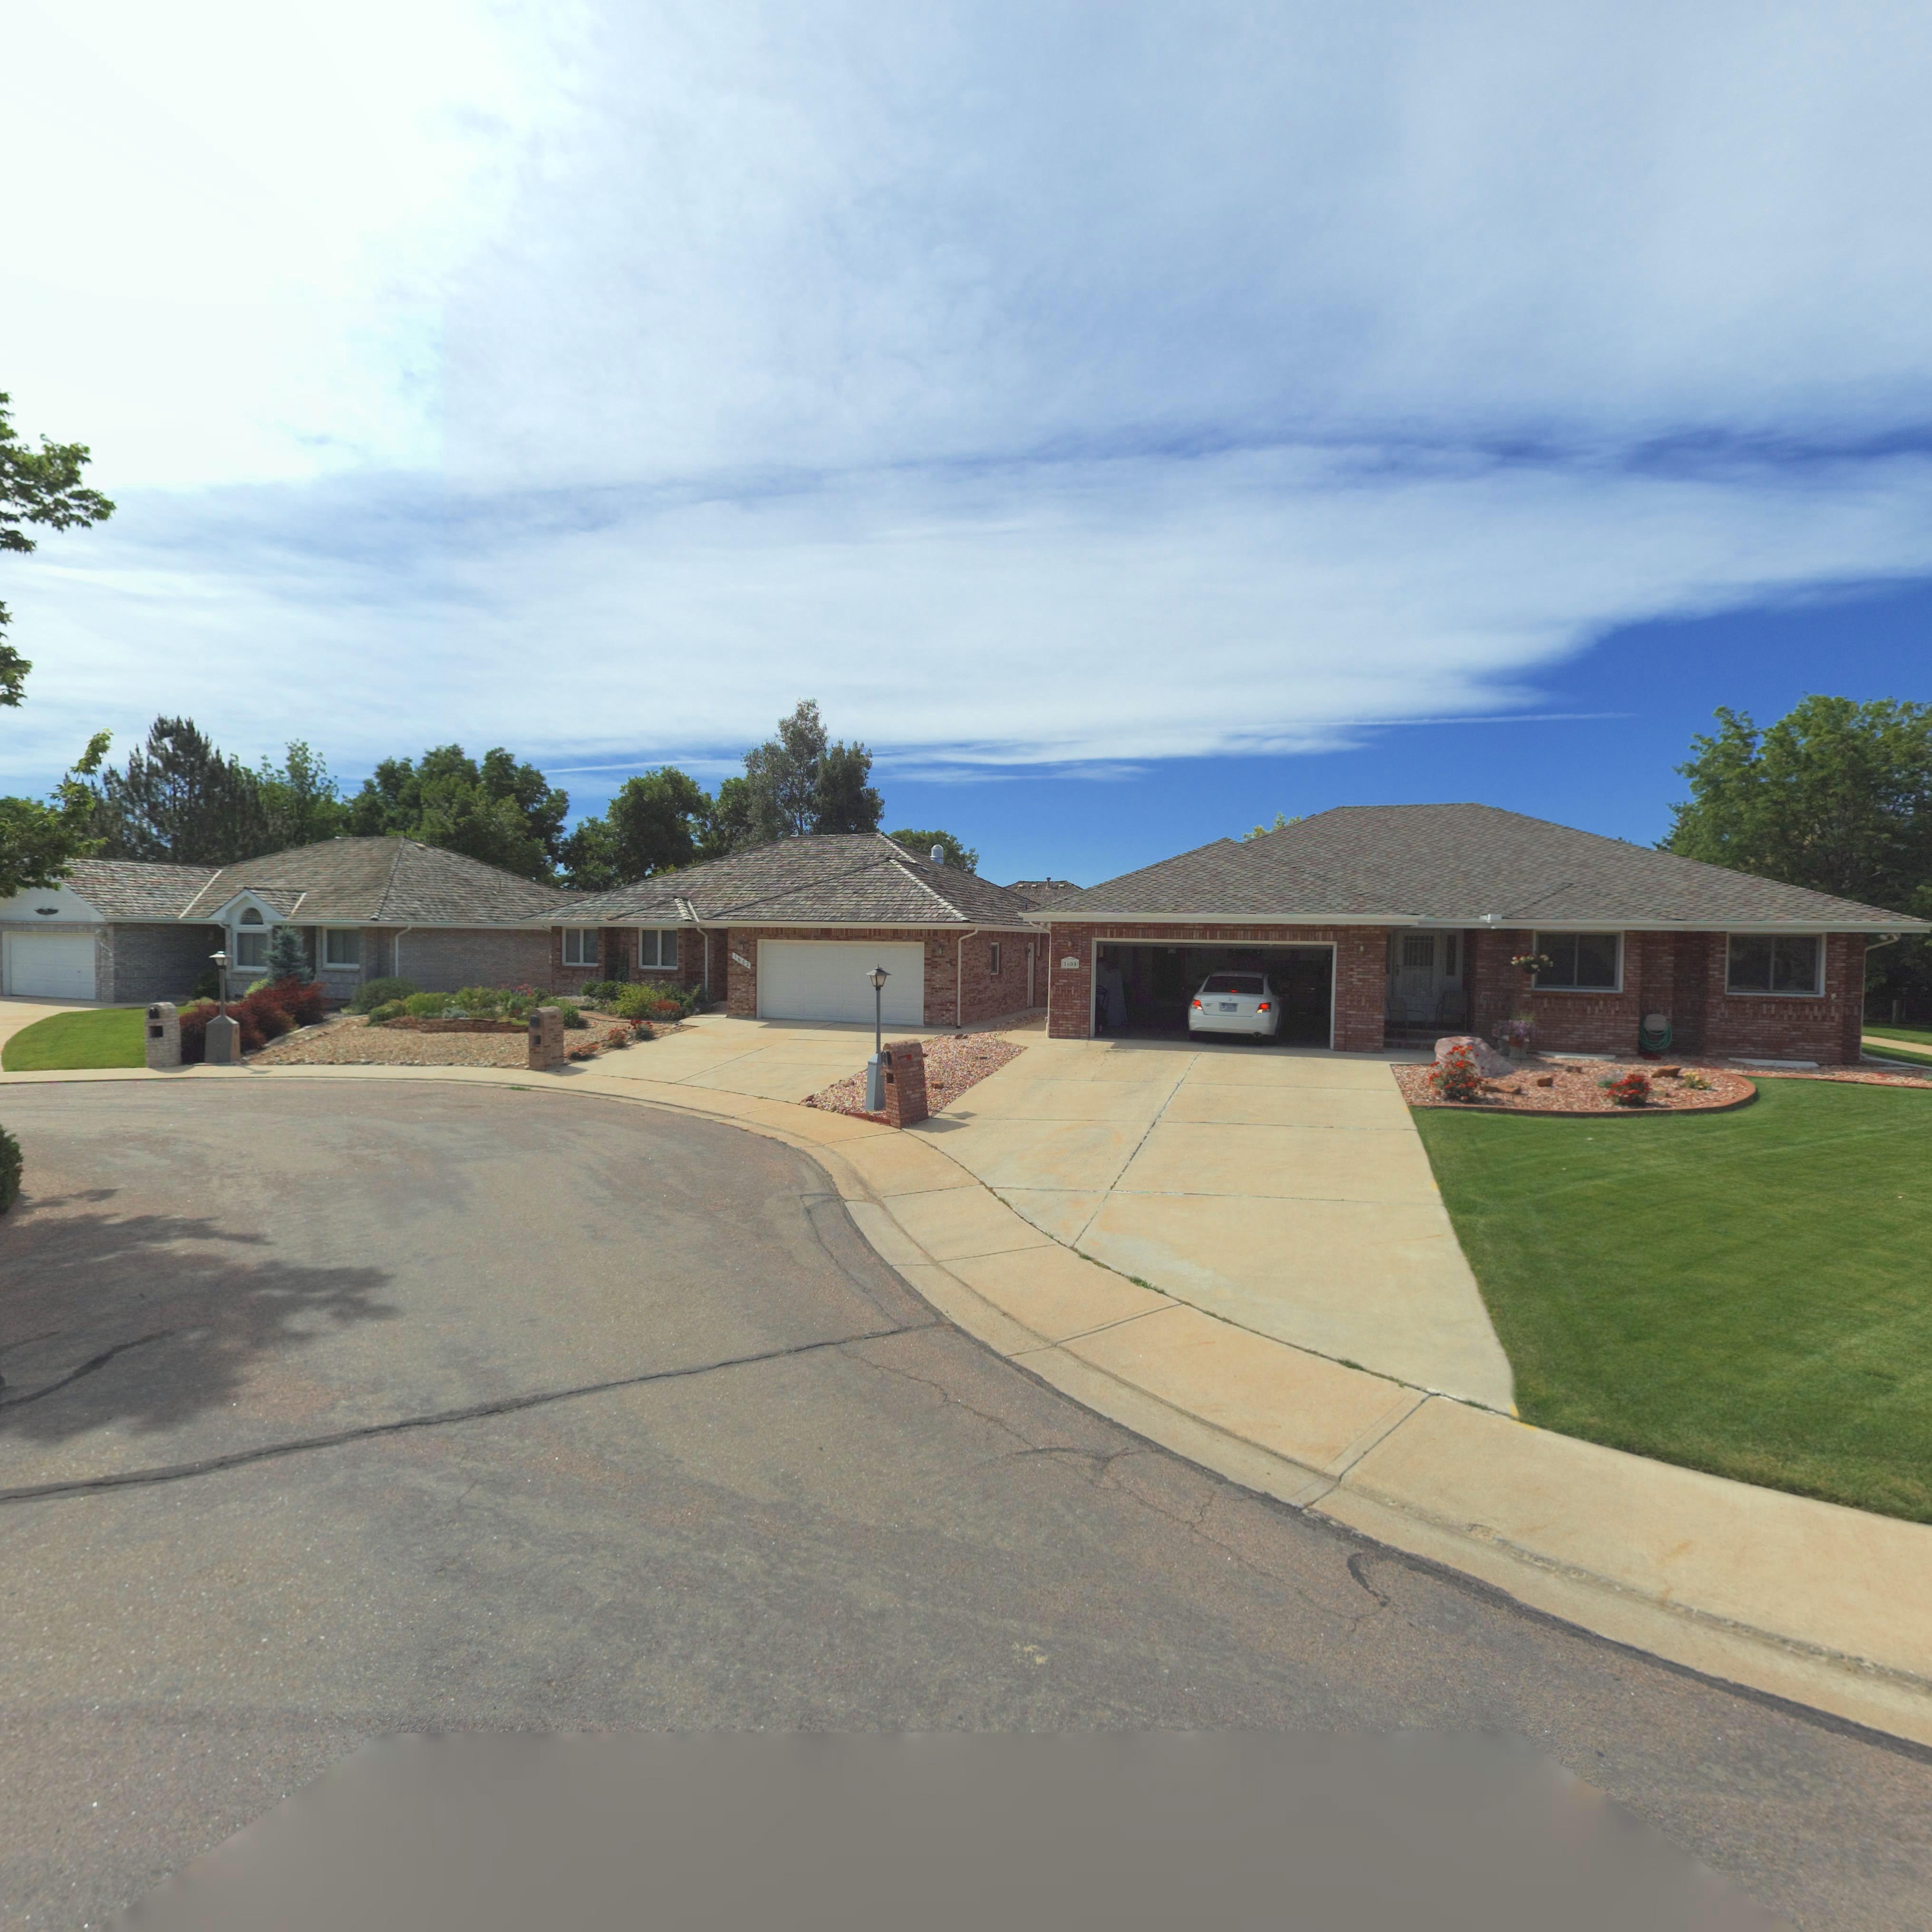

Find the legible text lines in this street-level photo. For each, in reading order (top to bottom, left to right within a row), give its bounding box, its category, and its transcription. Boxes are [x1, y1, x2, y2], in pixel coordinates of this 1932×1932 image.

[734, 953, 749, 966] StreetNumber: 1603
[1064, 961, 1076, 966] StreetNumber: 1600